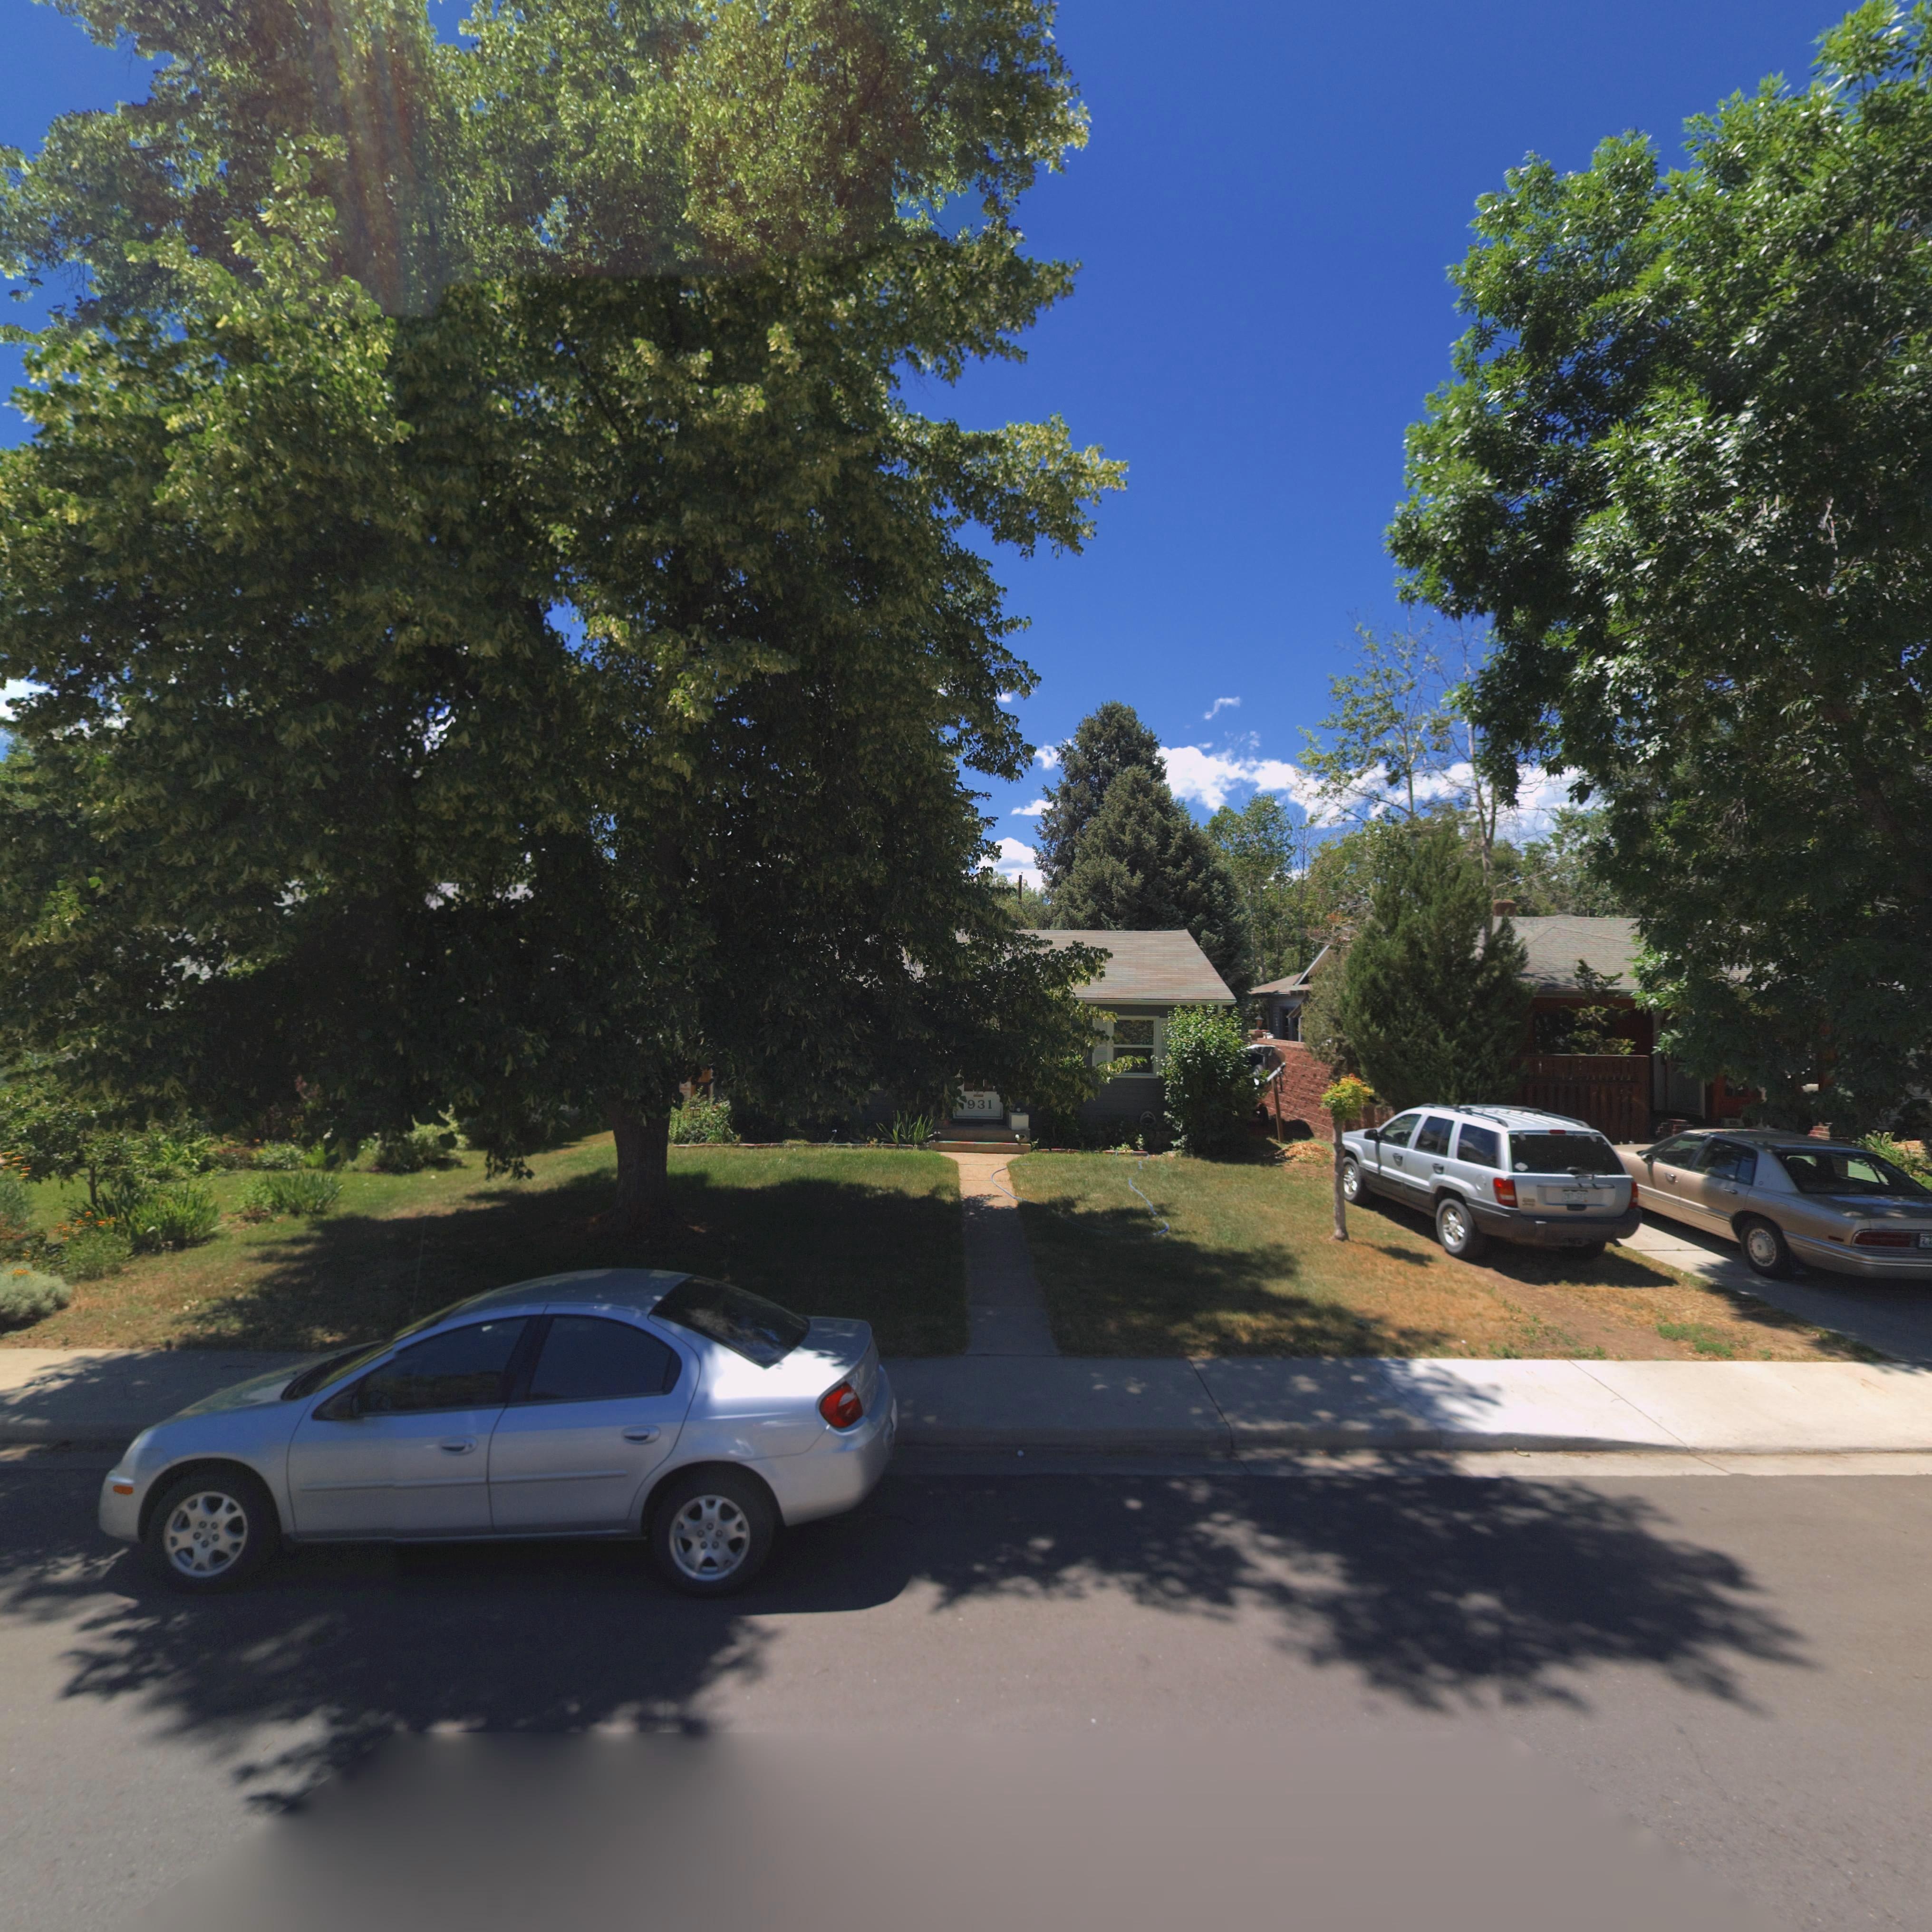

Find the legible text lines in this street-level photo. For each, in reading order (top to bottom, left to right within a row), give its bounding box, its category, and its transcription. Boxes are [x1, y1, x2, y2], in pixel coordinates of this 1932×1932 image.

[967, 1099, 992, 1109] StreetNumber: 931